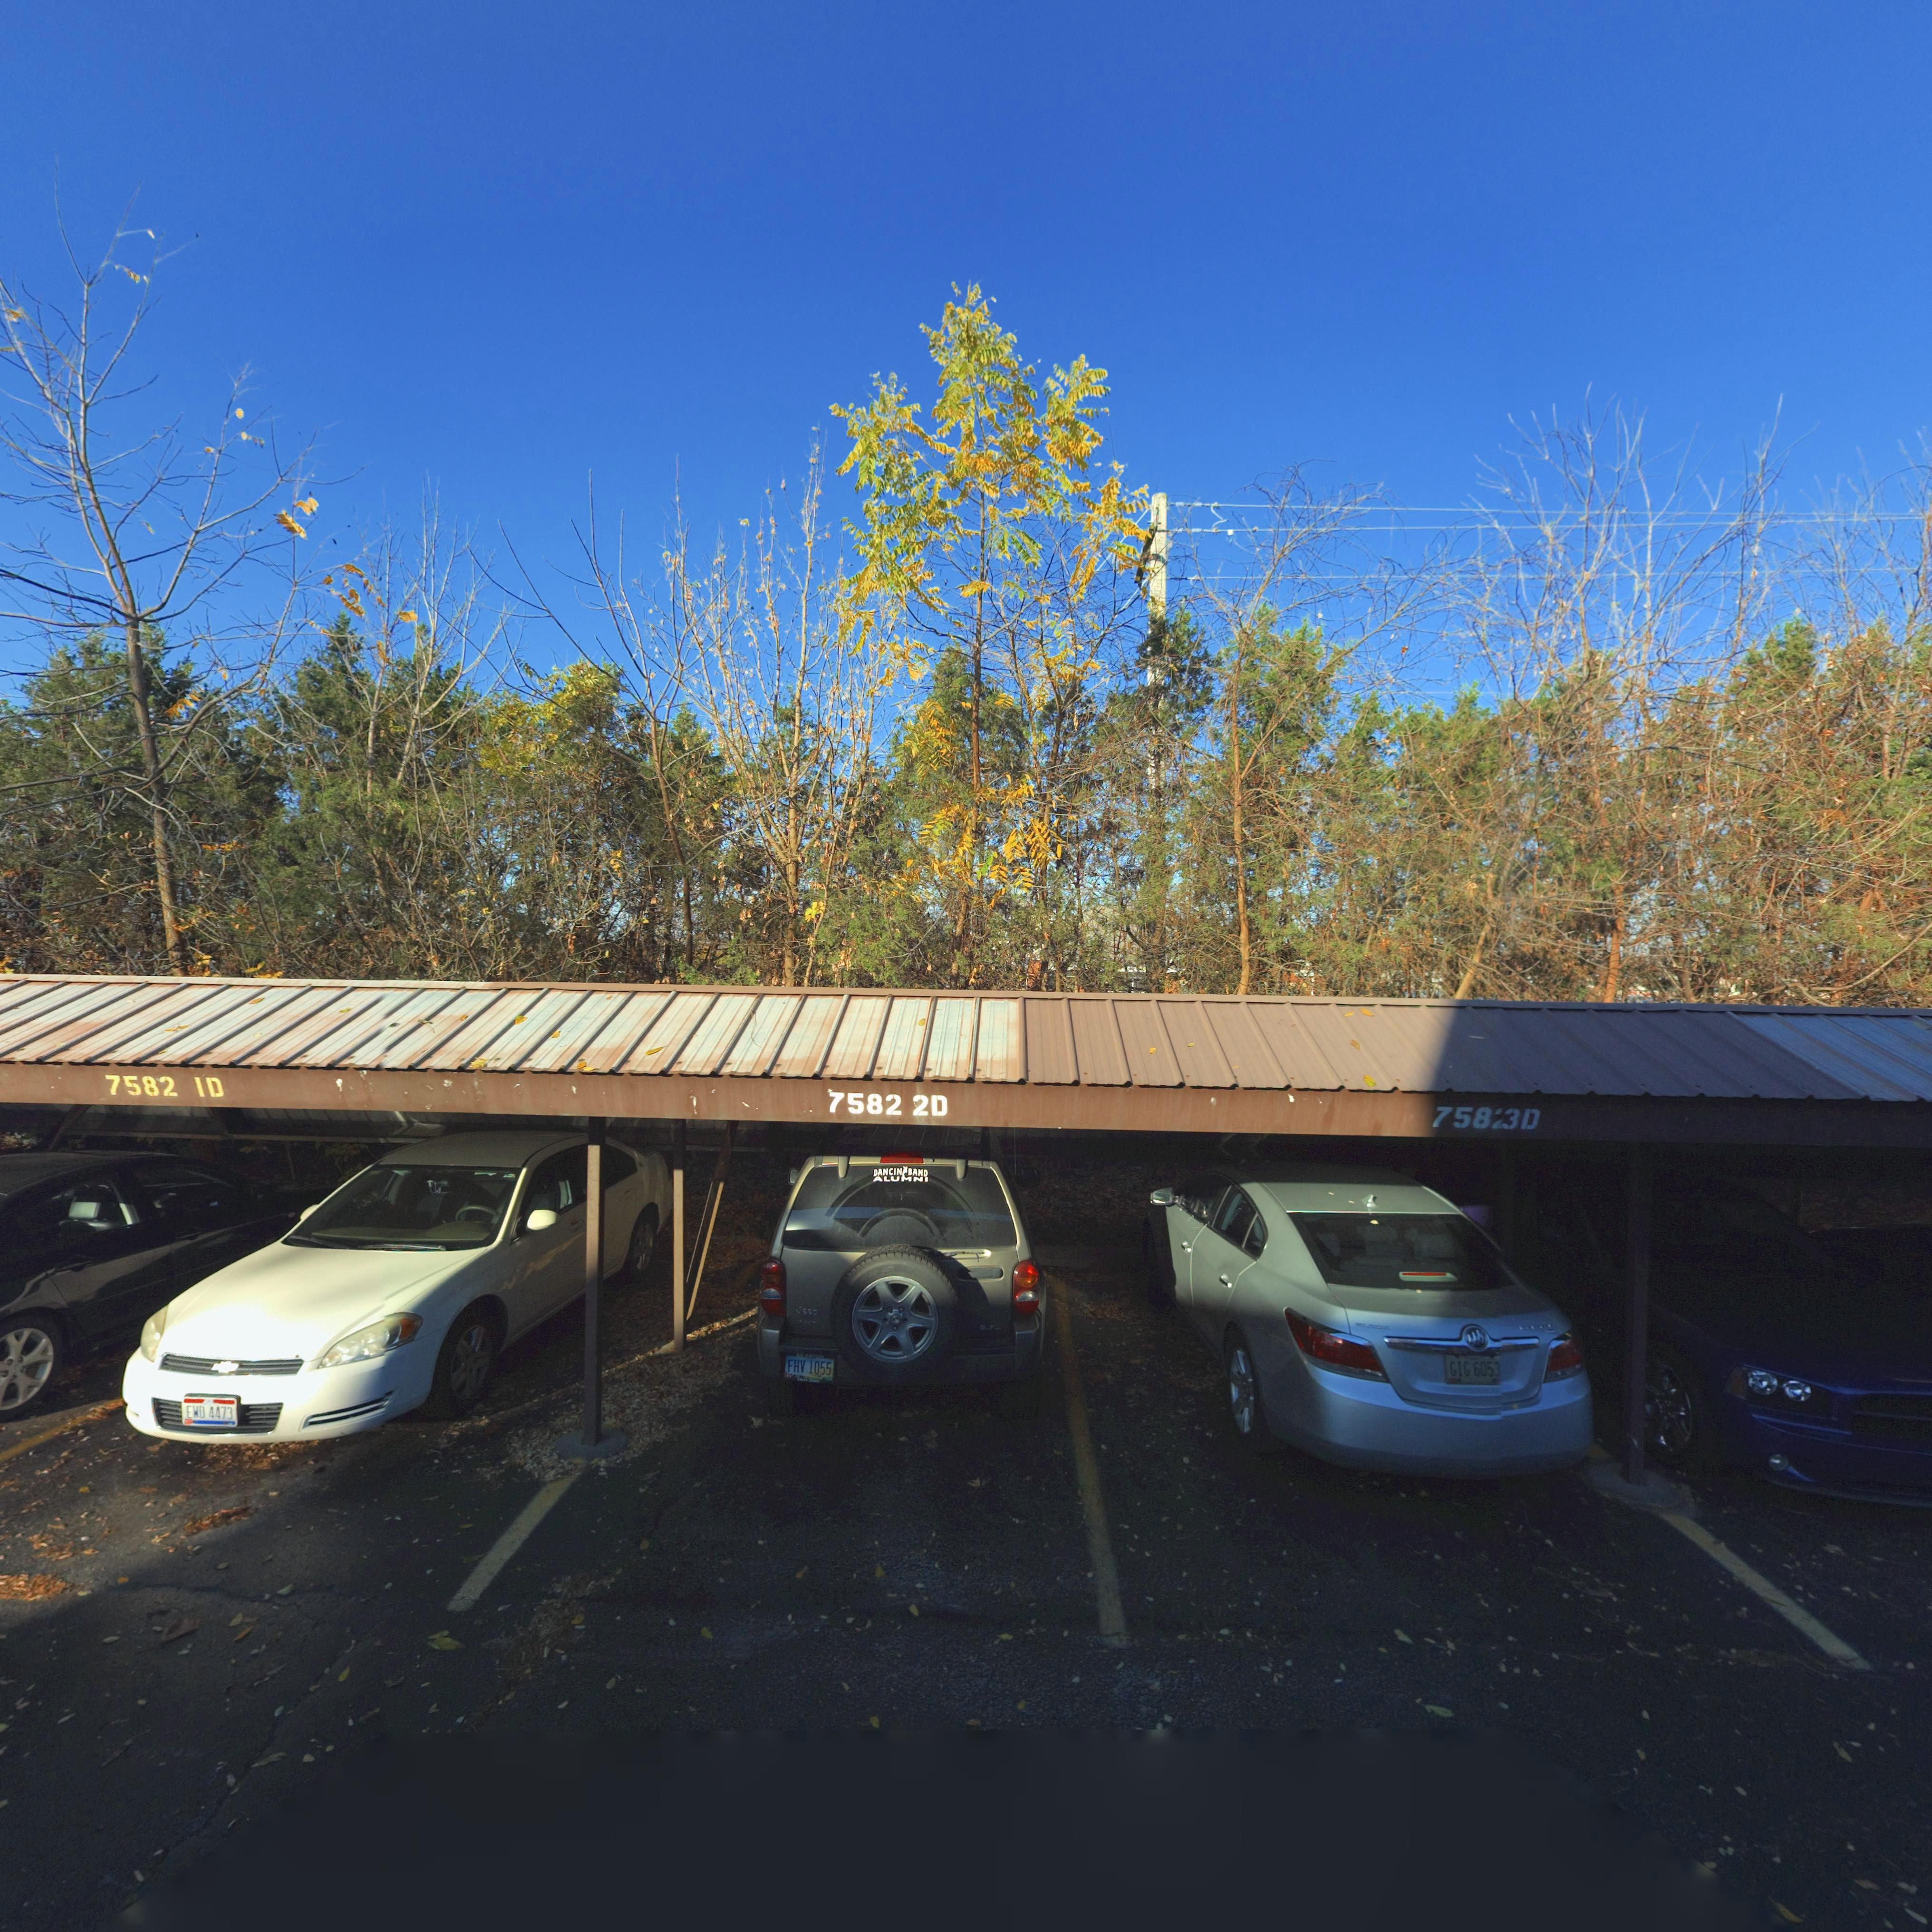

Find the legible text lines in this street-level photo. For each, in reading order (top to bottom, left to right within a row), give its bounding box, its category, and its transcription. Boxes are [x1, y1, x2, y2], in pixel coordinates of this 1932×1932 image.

[104, 1074, 179, 1098] StreetNumber: 7582
[828, 1092, 902, 1116] StreetNumber: 7582
[1431, 1105, 1493, 1130] StreetNumber: 758